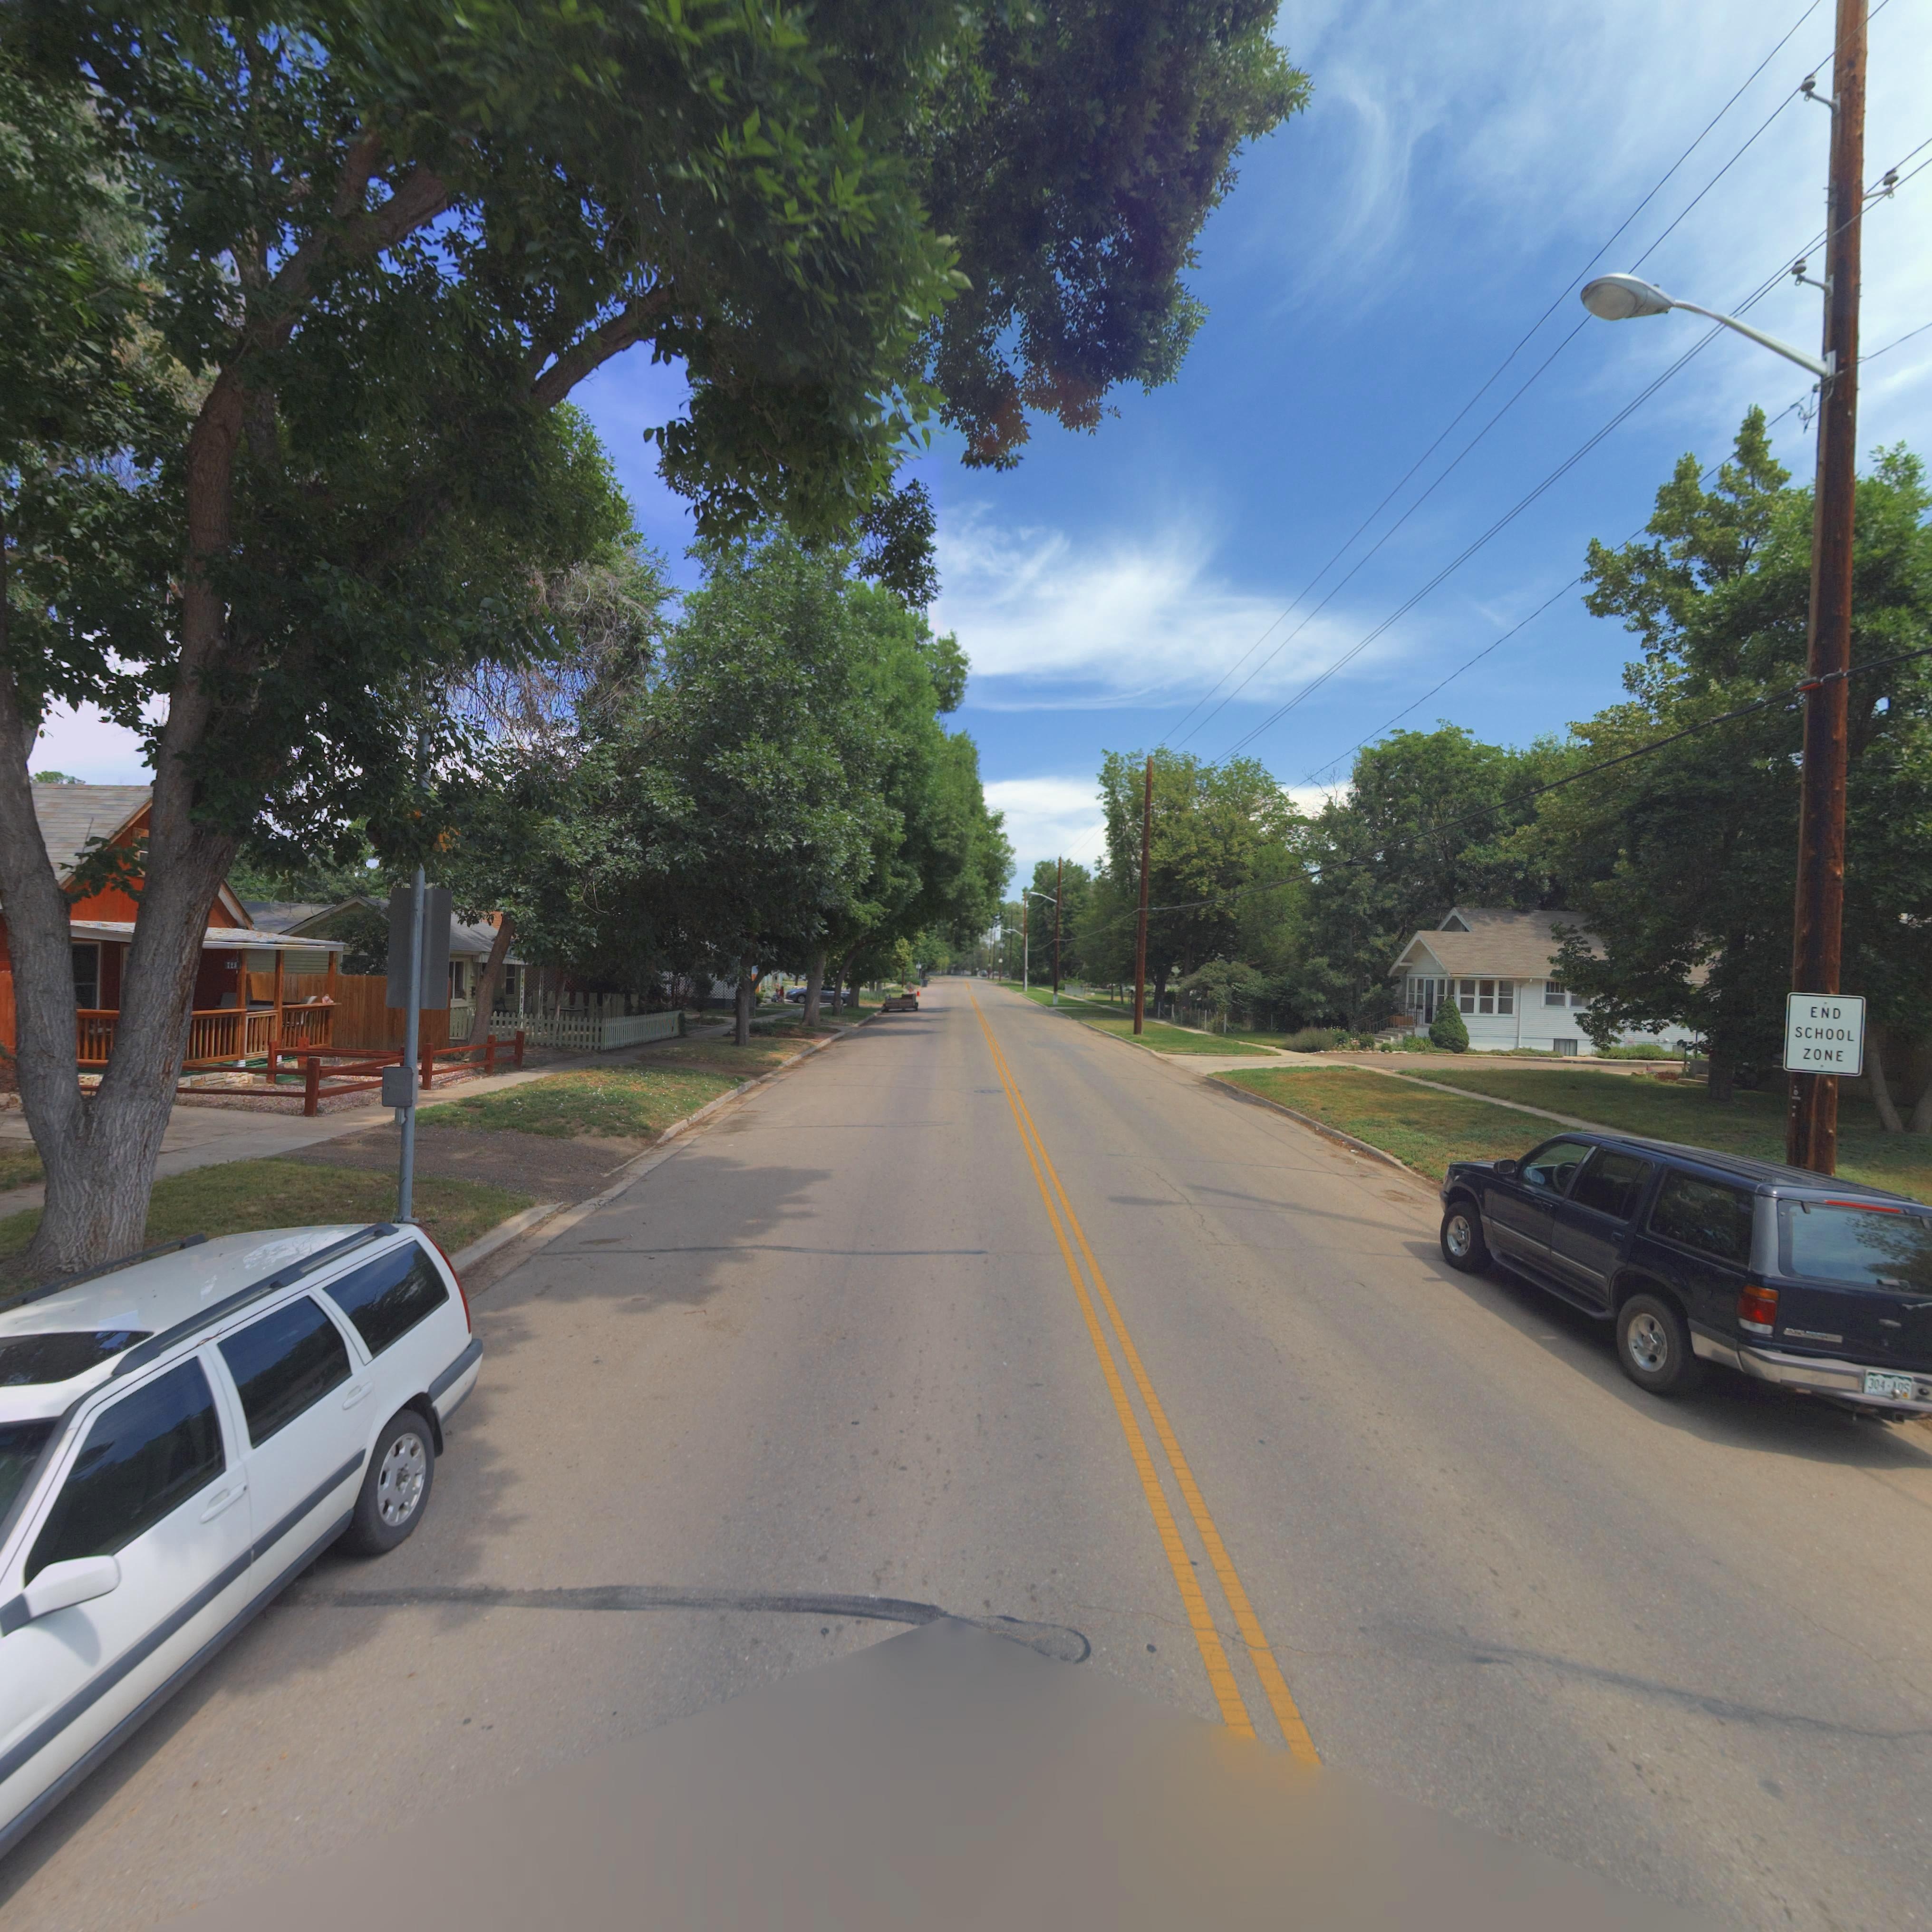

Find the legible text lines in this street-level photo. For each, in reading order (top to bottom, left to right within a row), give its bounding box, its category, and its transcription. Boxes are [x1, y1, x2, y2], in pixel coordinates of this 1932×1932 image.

[227, 961, 237, 968] StreetNumber: 723